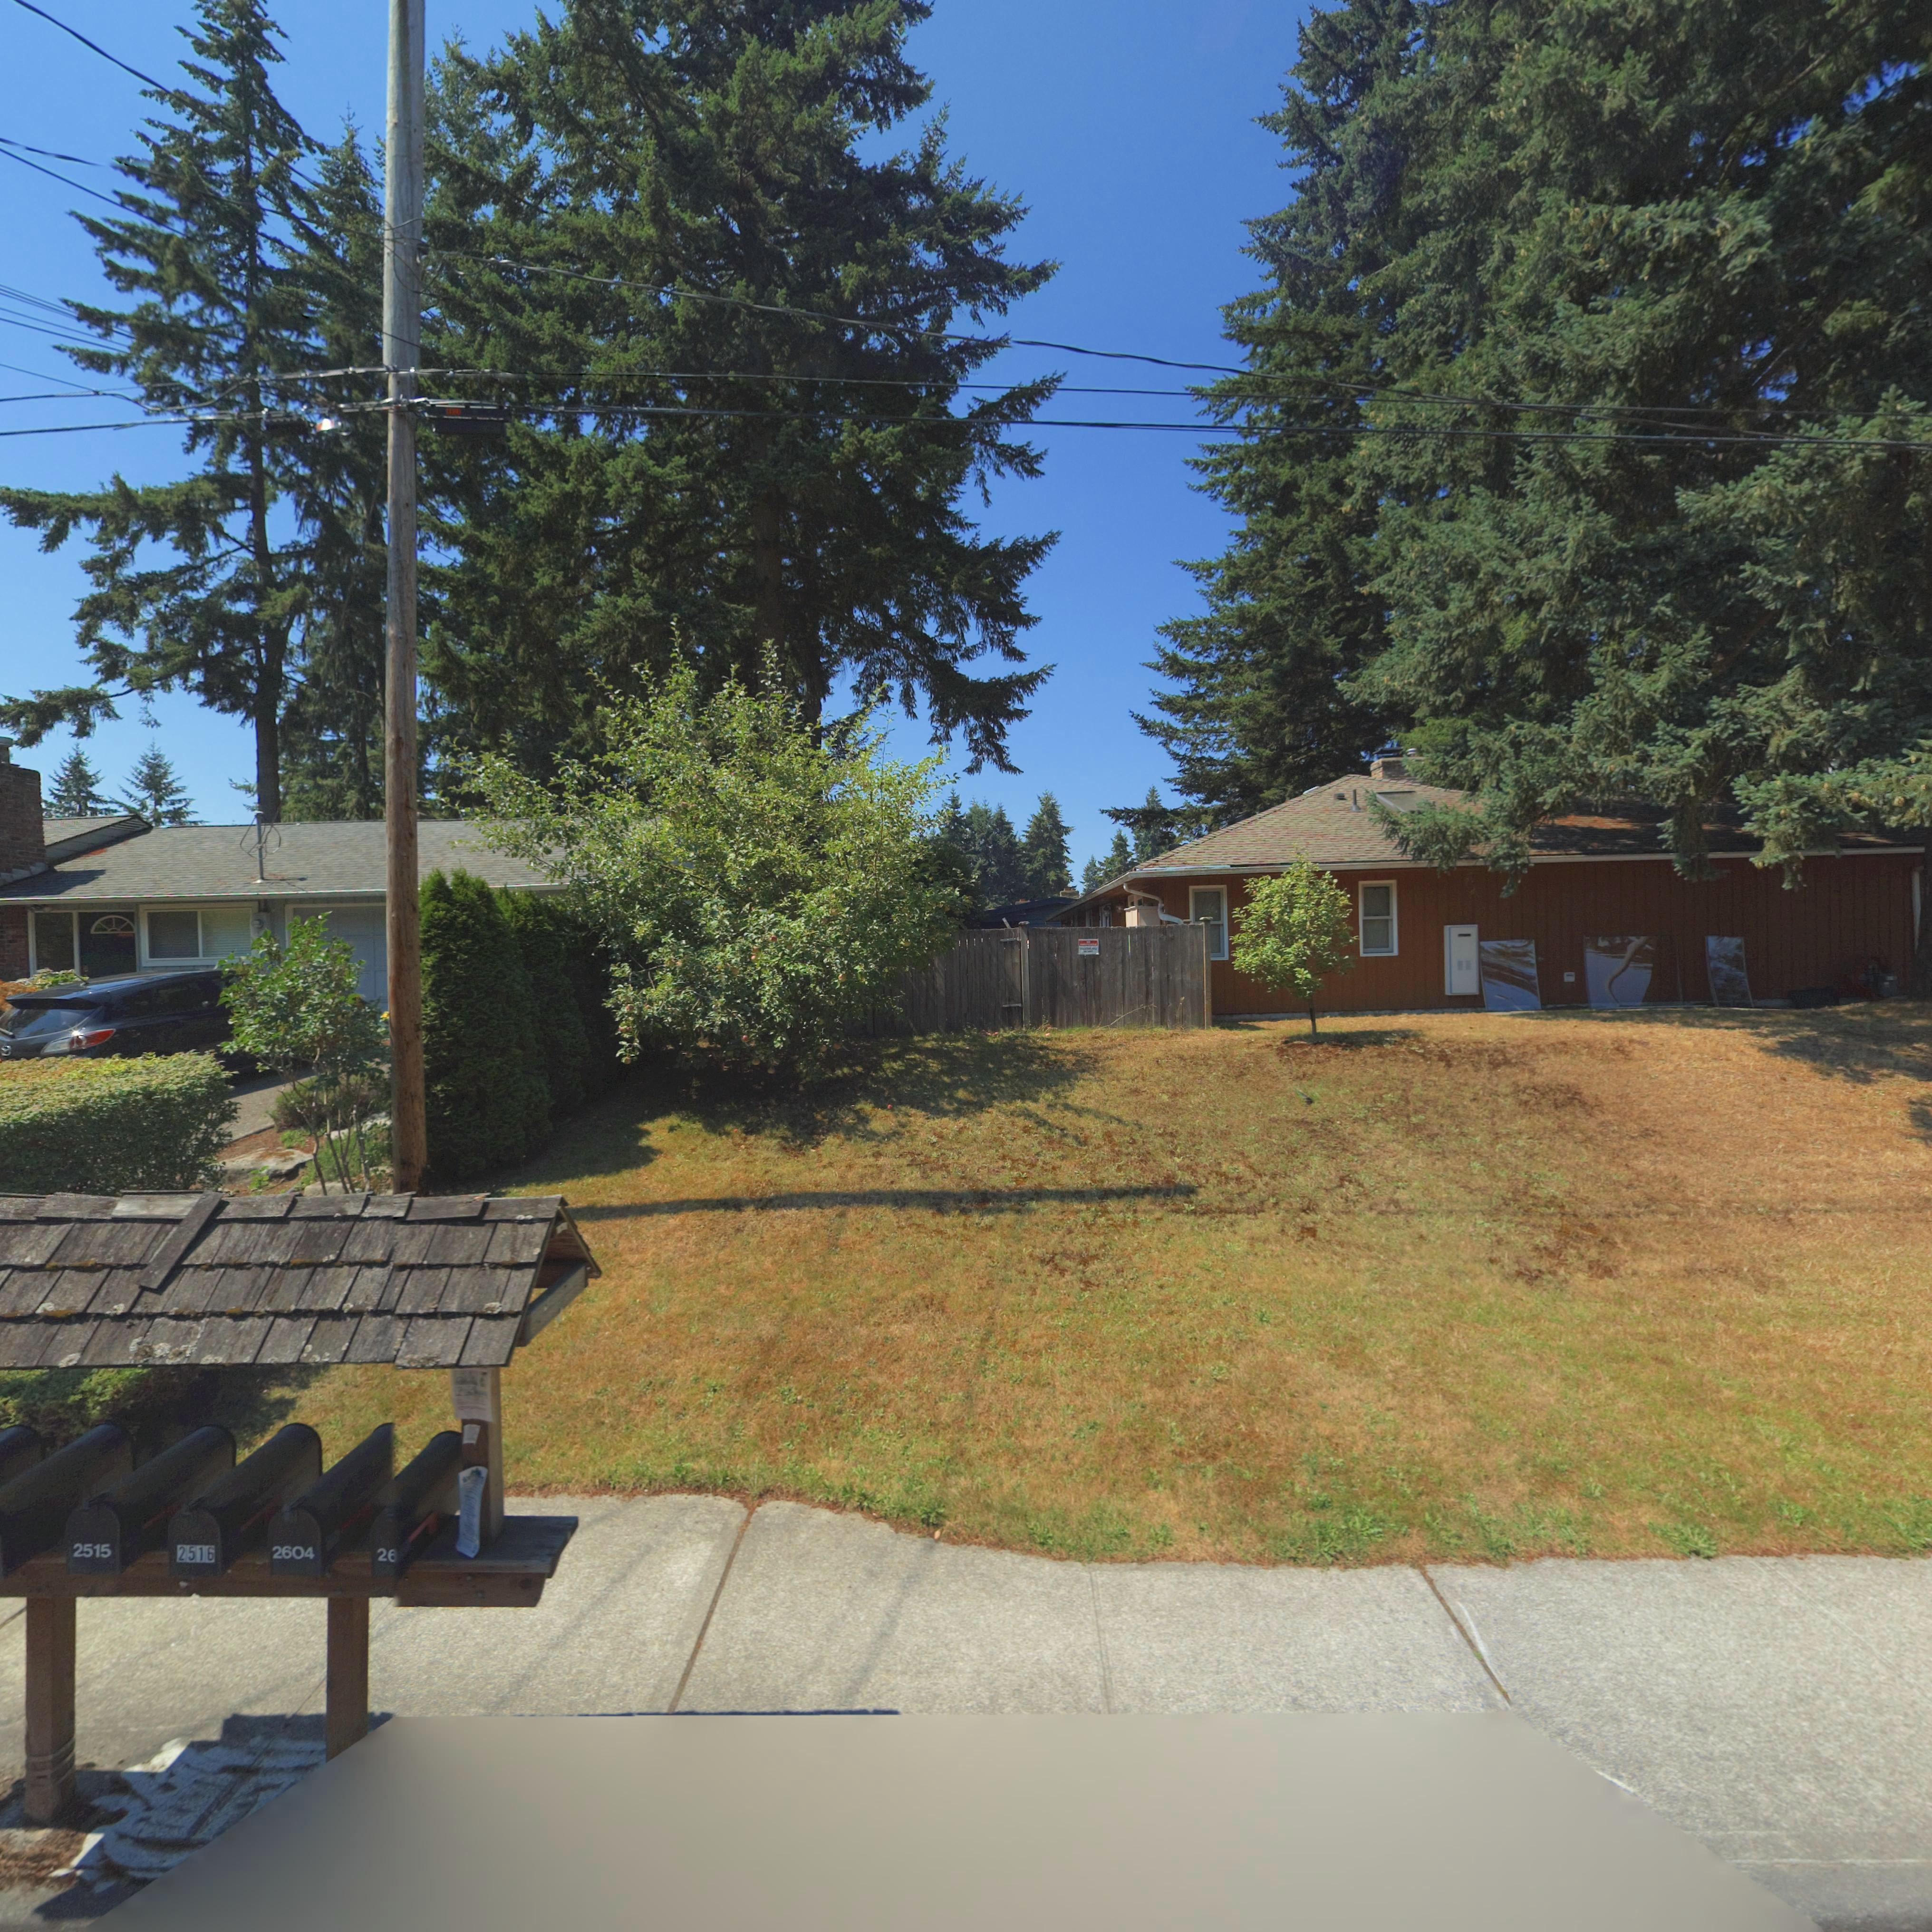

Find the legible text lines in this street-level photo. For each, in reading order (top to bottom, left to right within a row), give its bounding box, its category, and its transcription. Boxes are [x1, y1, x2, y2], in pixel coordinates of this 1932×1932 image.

[73, 1543, 111, 1557] StreetNumber: 2515
[179, 1546, 213, 1560] StreetNumber: 2516
[272, 1546, 314, 1559] StreetNumber: 2604
[377, 1548, 394, 1562] None: 2*